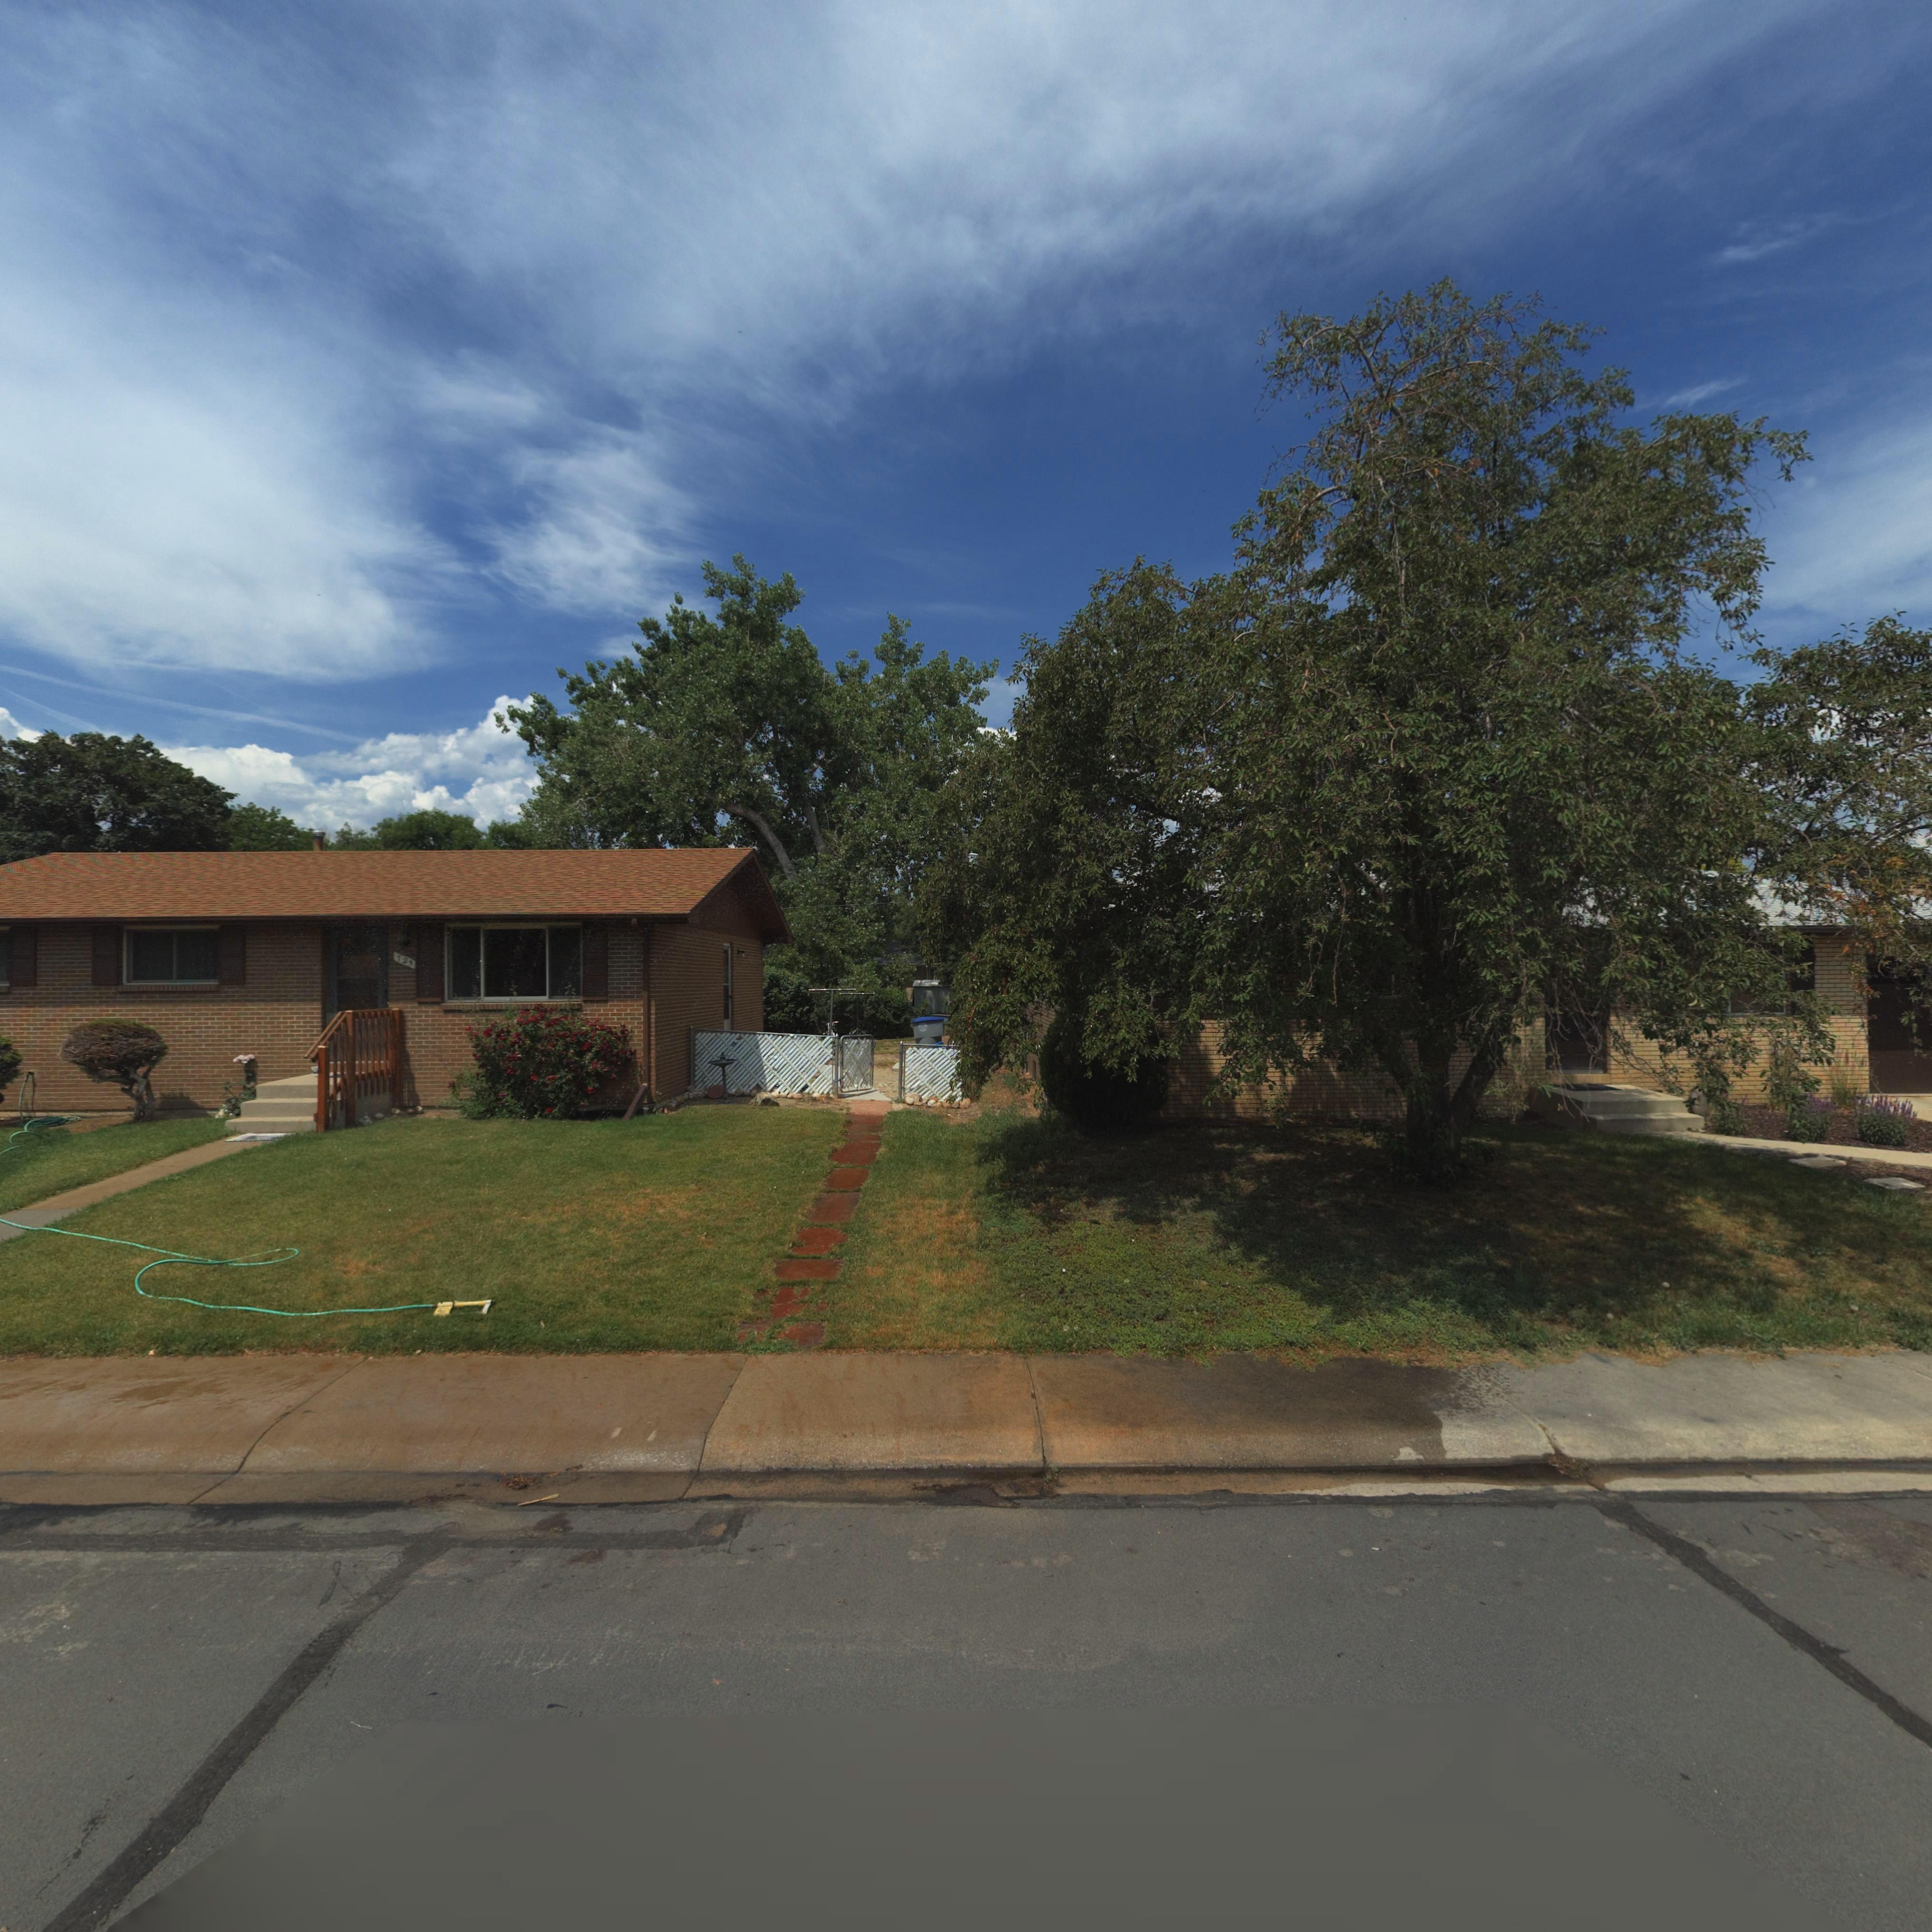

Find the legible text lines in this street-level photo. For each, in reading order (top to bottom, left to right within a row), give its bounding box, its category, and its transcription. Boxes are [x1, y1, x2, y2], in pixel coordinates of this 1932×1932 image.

[394, 953, 414, 968] StreetNumber: 725